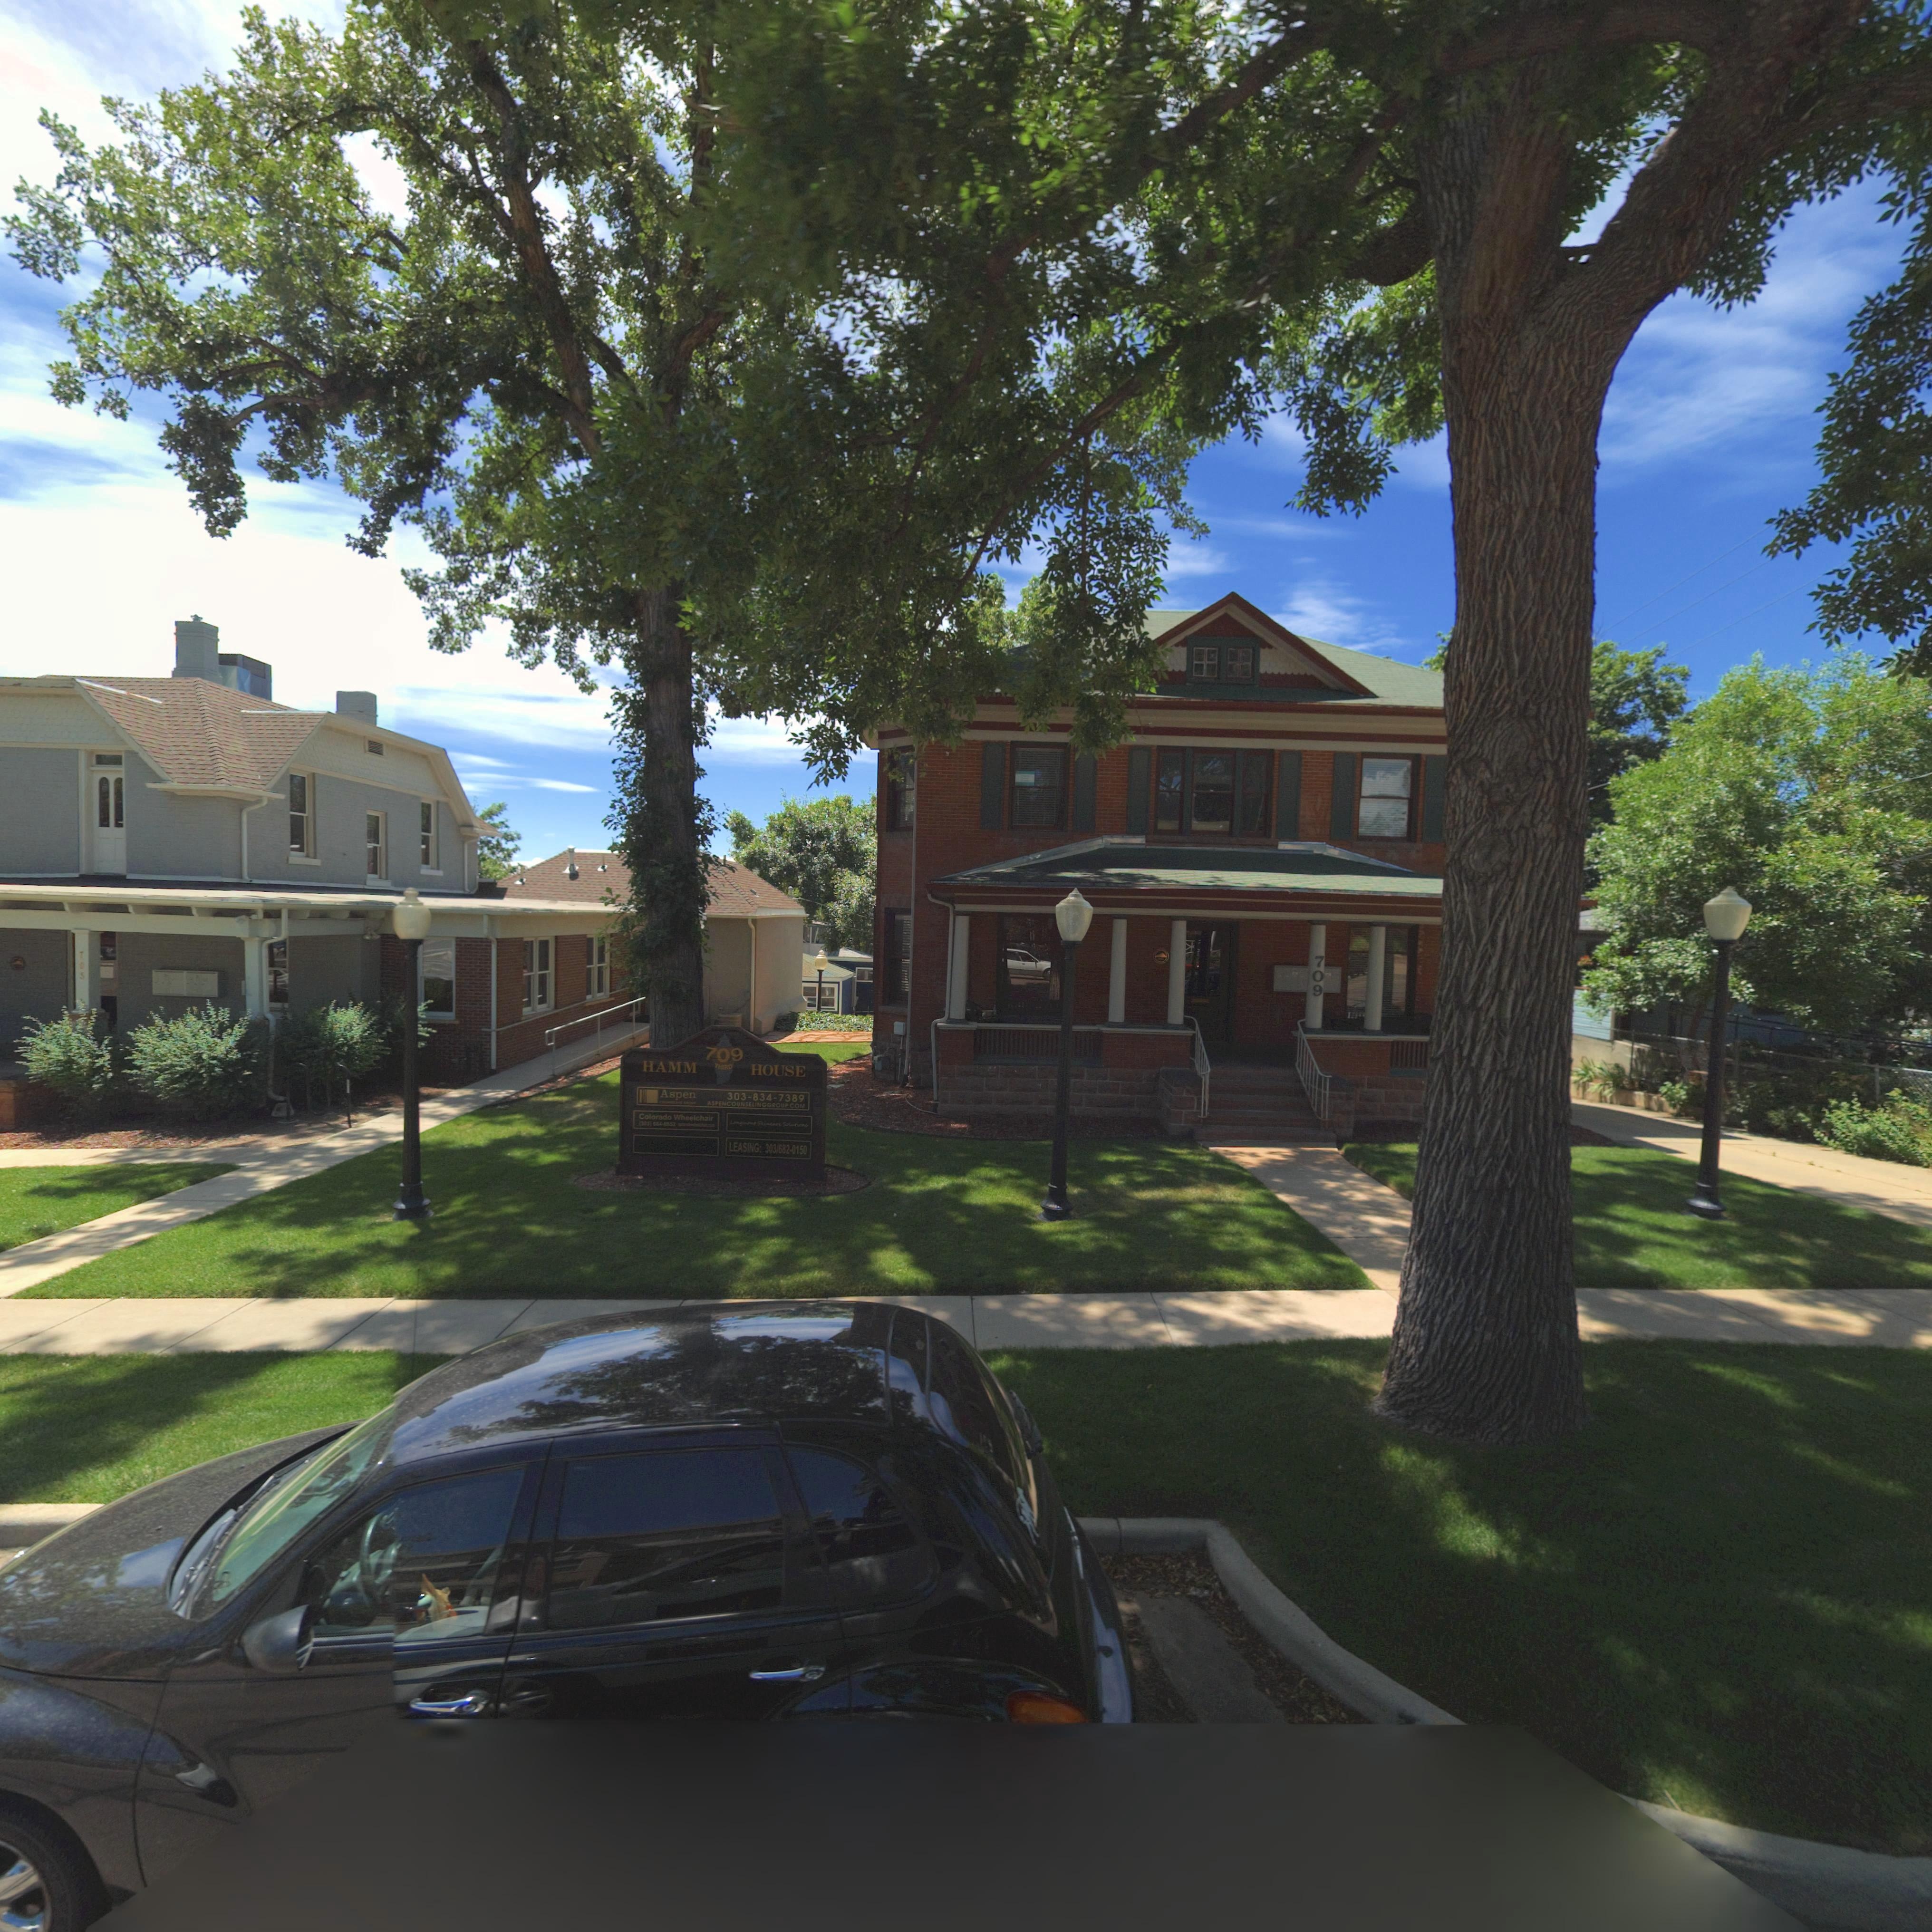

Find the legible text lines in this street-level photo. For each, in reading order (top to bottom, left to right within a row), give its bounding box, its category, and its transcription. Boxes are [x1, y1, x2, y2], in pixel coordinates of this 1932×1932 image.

[79, 950, 84, 980] StreetNumber: 703
[1312, 955, 1325, 997] StreetNumber: 709
[704, 1045, 743, 1063] StreetNumber: 709
[714, 1063, 733, 1071] StreetName: THIRD
[659, 1089, 696, 1101] BusinessName: Aspen
[638, 1112, 715, 1121] BusinessName: Colorado Wheelchair
[730, 1119, 809, 1128] BusinessName: L8ngmont Ski***** Solutions